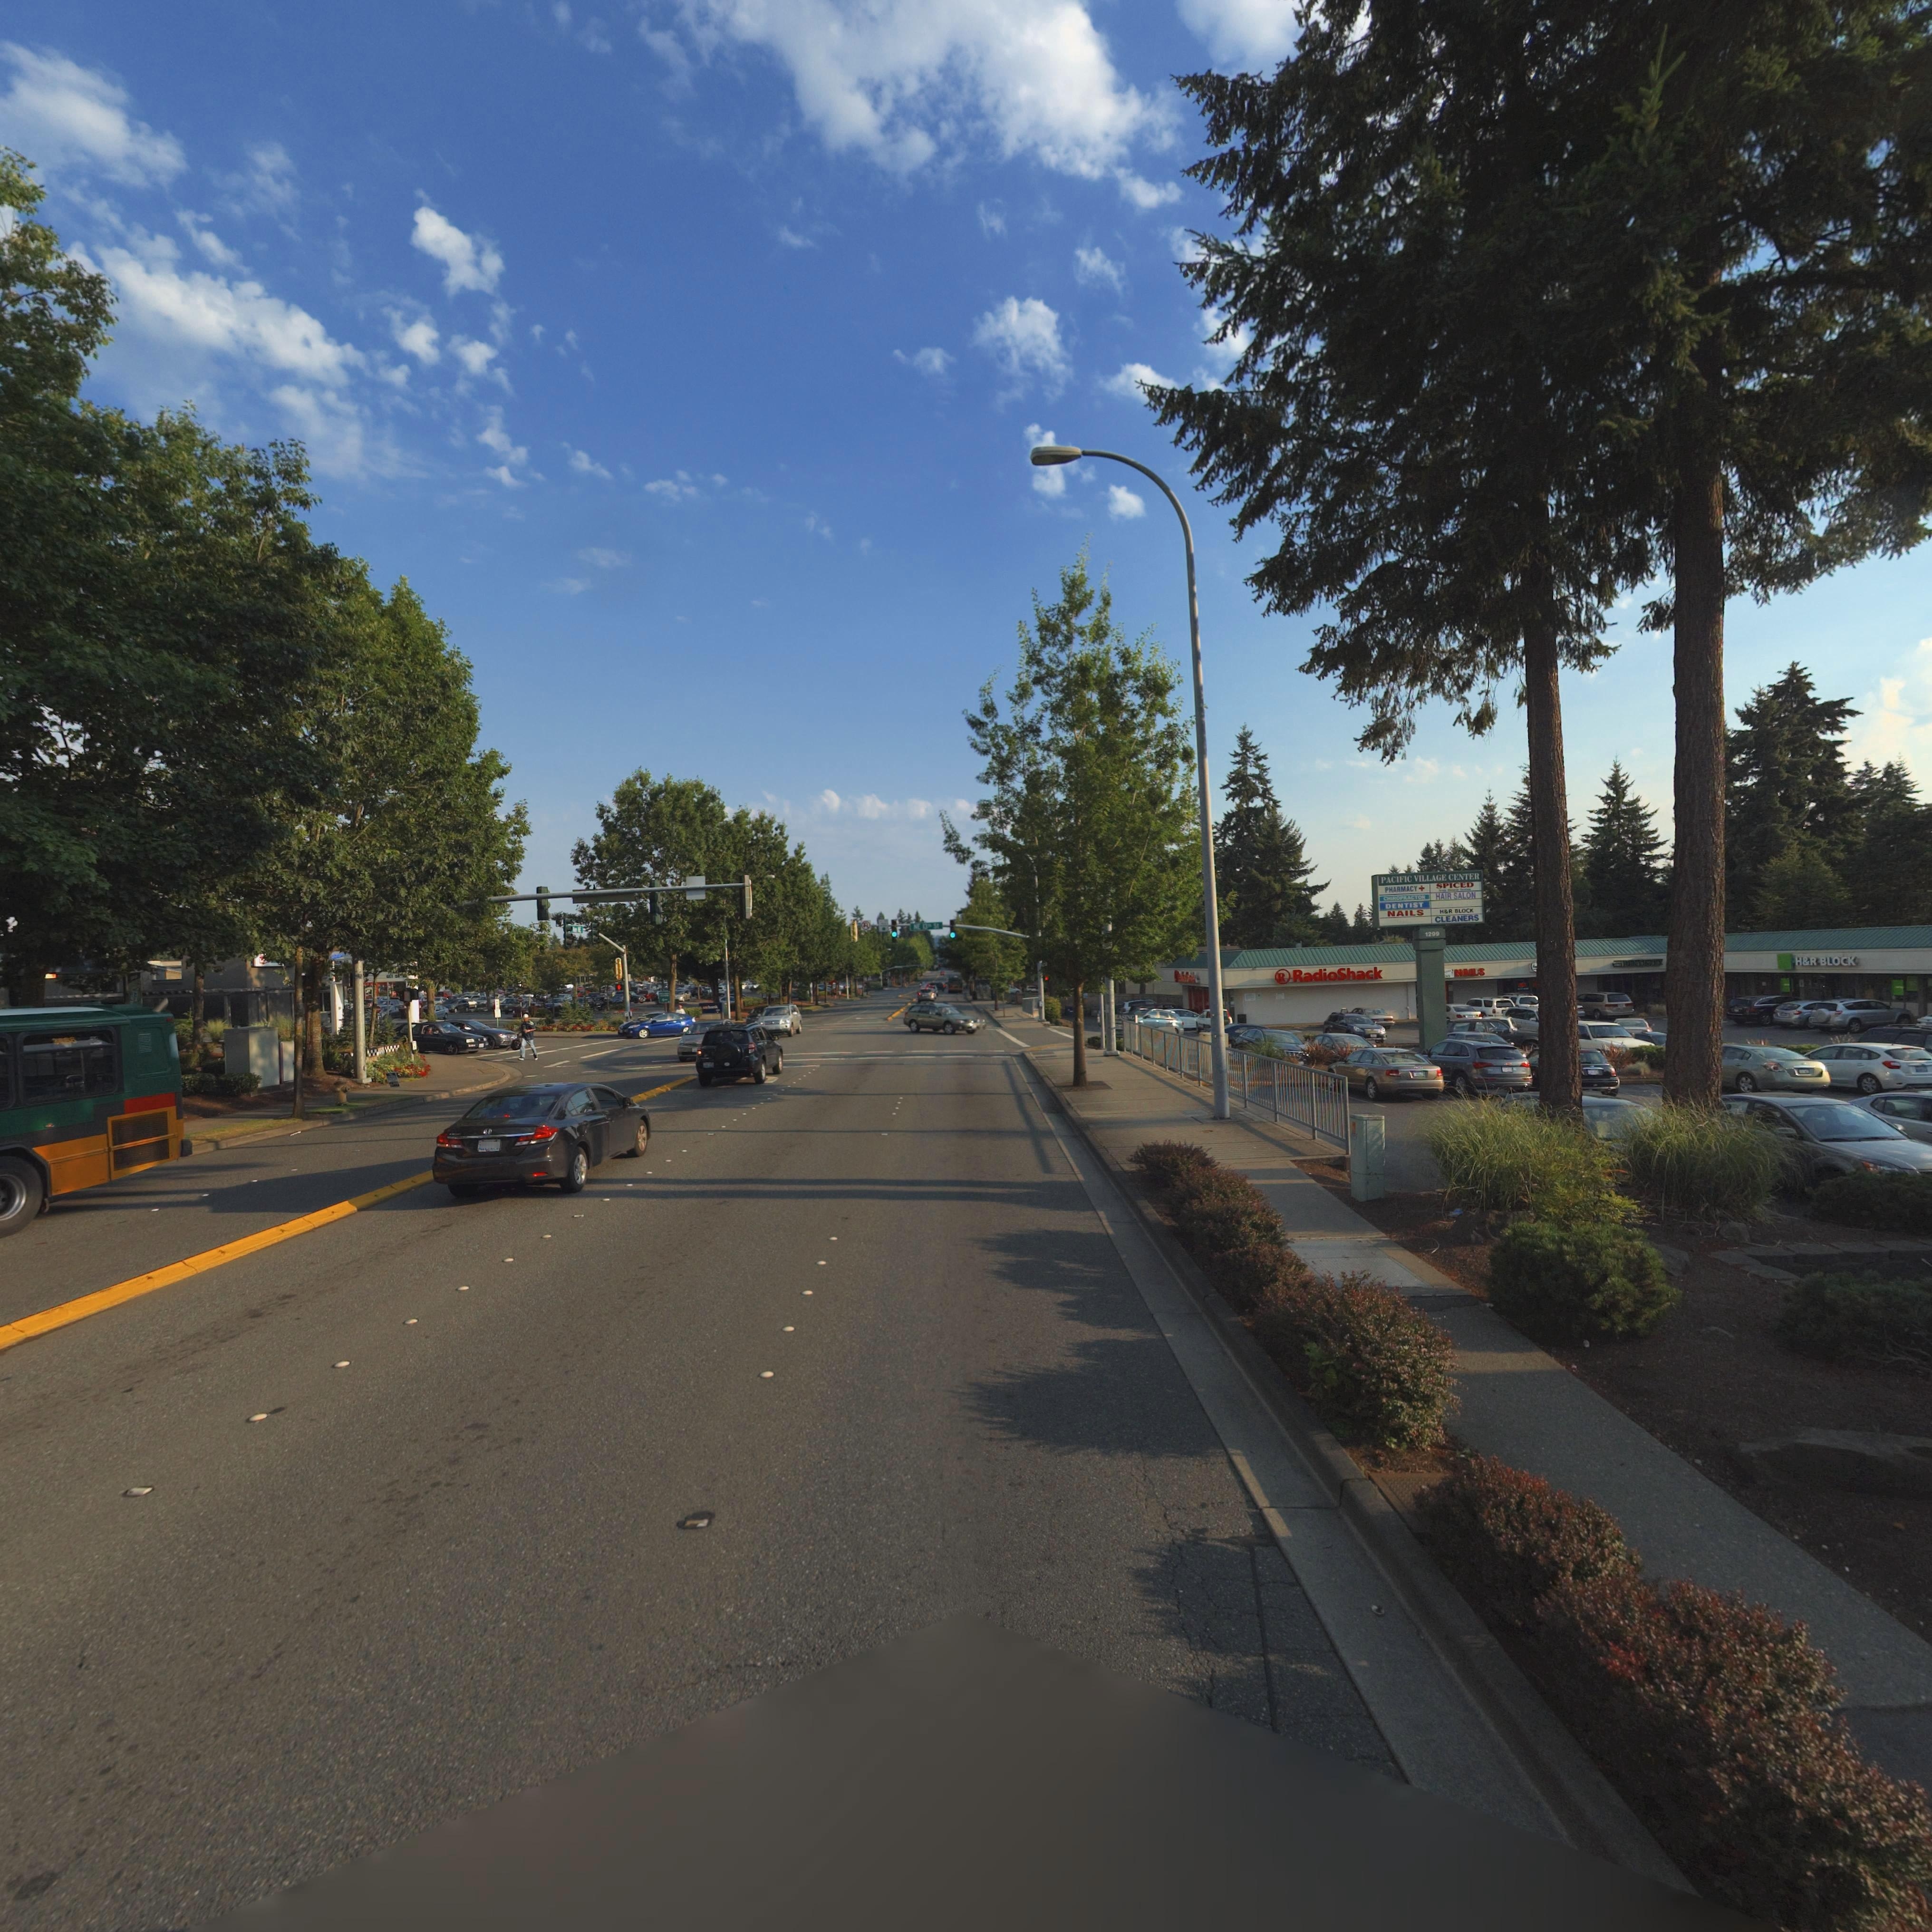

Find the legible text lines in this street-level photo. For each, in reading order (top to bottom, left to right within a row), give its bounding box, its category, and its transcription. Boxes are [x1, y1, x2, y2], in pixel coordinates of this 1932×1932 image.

[1436, 881, 1474, 888] BusinessName: SPICED
[1385, 885, 1417, 893] BusinessName: PHARMACY
[1383, 895, 1425, 900] BusinessName: CHIROPRACTOR
[1435, 891, 1476, 900] BusinessName: HAIR SALON
[1385, 902, 1423, 908] BusinessName: DENTIST
[1386, 909, 1424, 917] BusinessName: NAILS
[1439, 908, 1473, 914] BusinessName: H*R BLOCK
[1435, 914, 1479, 923] BusinessName: CLEANERS
[1425, 931, 1439, 937] StreetNumber: 1299
[1795, 956, 1856, 966] BusinessName: H*R BLOCK
[1292, 966, 1383, 982] BusinessName: RadioShack
[1454, 967, 1485, 976] BusinessName: NAILS